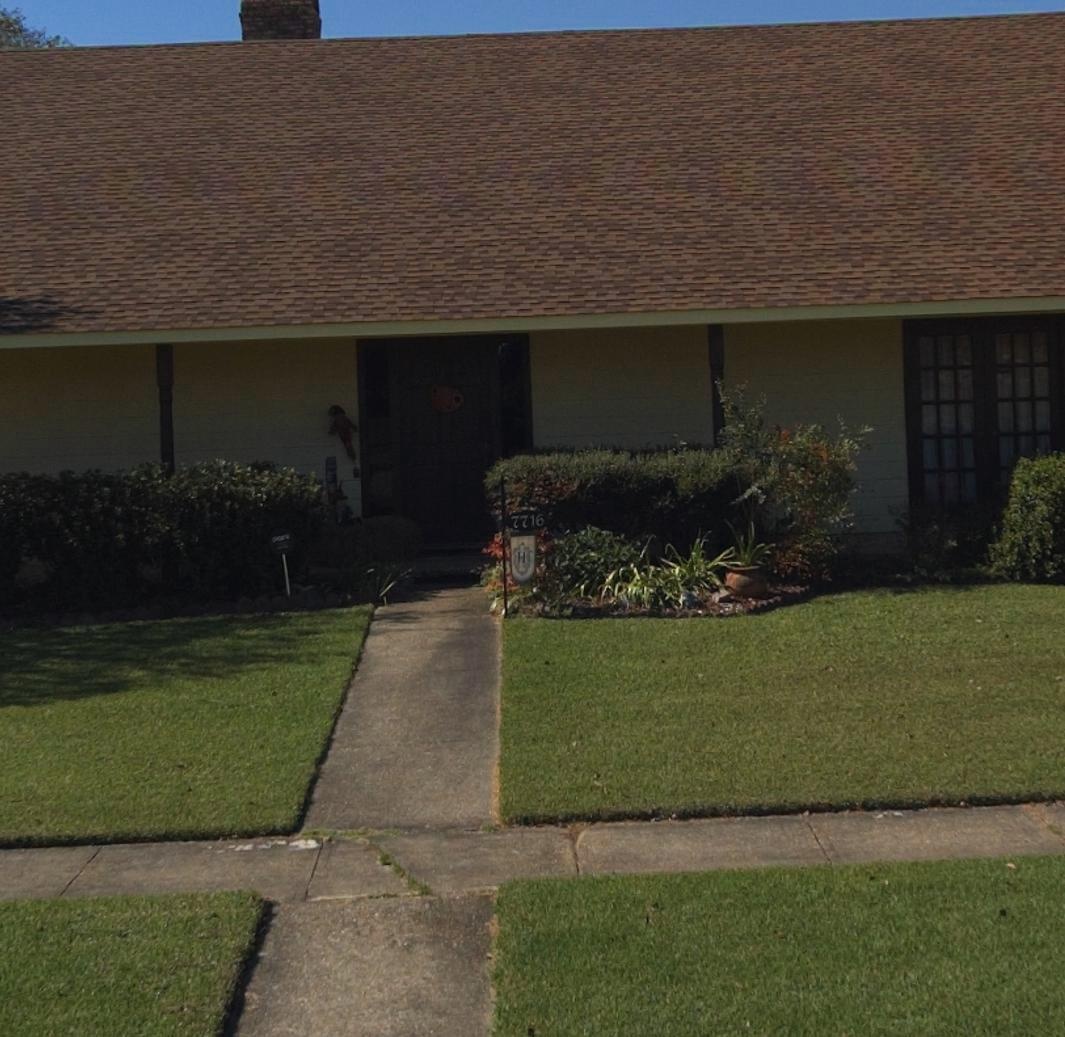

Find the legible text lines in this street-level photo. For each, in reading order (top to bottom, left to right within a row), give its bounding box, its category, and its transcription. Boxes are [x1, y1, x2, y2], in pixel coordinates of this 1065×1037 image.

[510, 513, 545, 529] StreetNumber: 7716
[517, 551, 526, 565] None: H